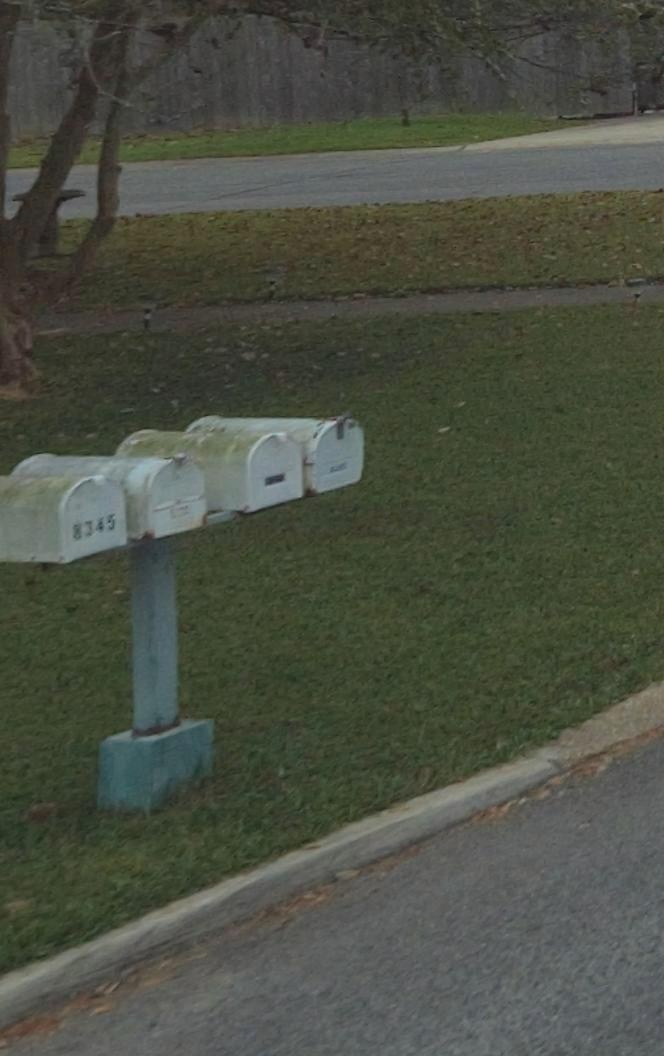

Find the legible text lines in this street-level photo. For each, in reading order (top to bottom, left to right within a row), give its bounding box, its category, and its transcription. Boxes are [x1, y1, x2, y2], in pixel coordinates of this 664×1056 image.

[73, 512, 117, 541] StreetNumber: 8345